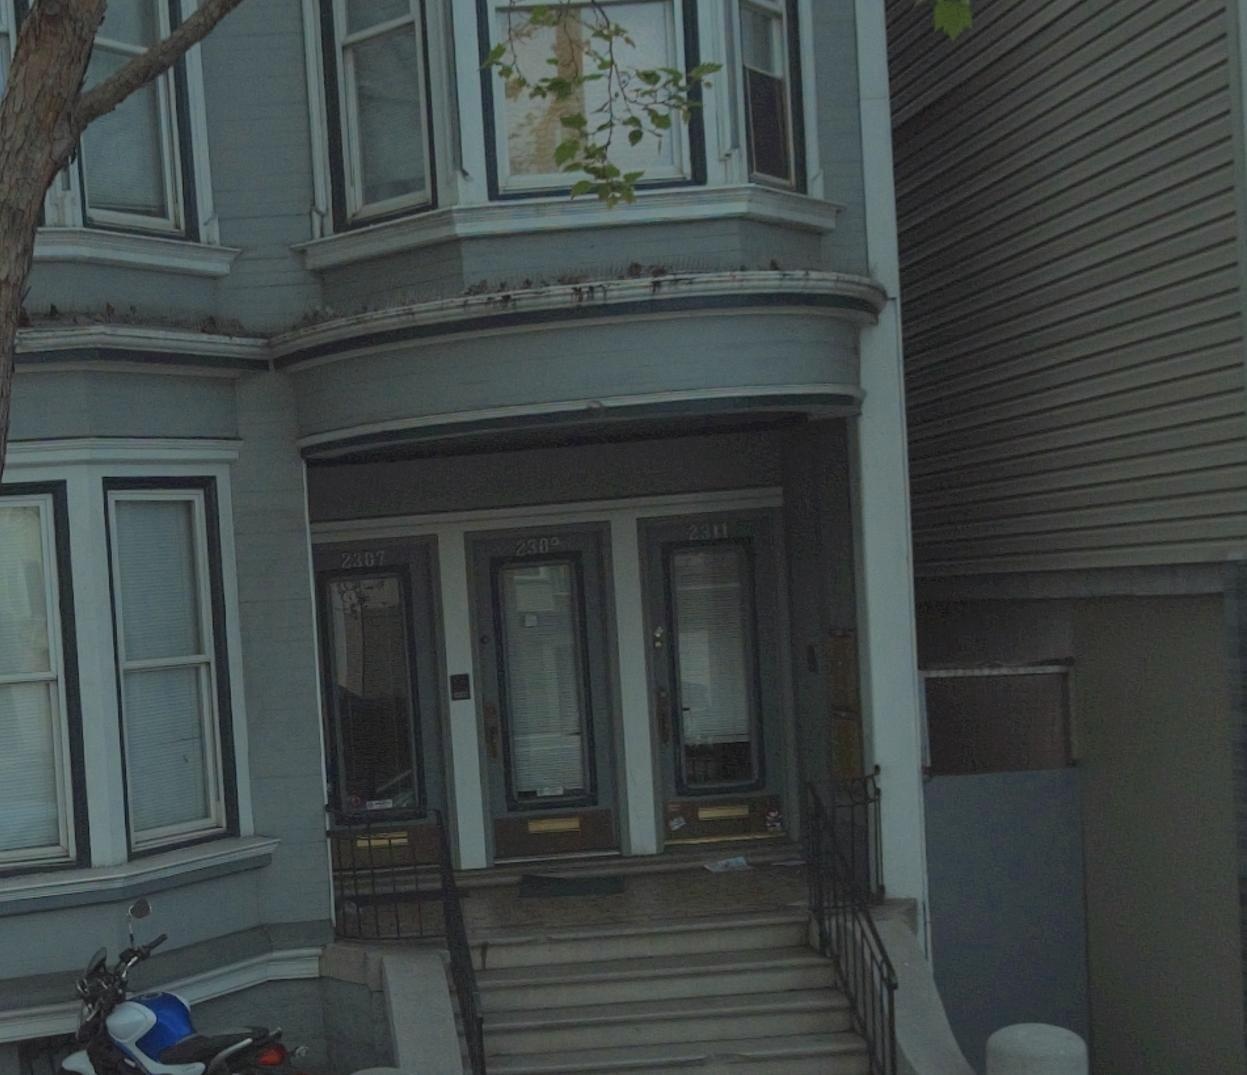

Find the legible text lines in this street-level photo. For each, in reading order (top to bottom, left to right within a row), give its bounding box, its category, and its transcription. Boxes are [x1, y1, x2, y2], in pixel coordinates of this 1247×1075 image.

[686, 519, 732, 544] StreetNumber: 2311
[513, 533, 562, 559] StreetNumber: 2302
[337, 548, 388, 571] StreetNumber: 2307